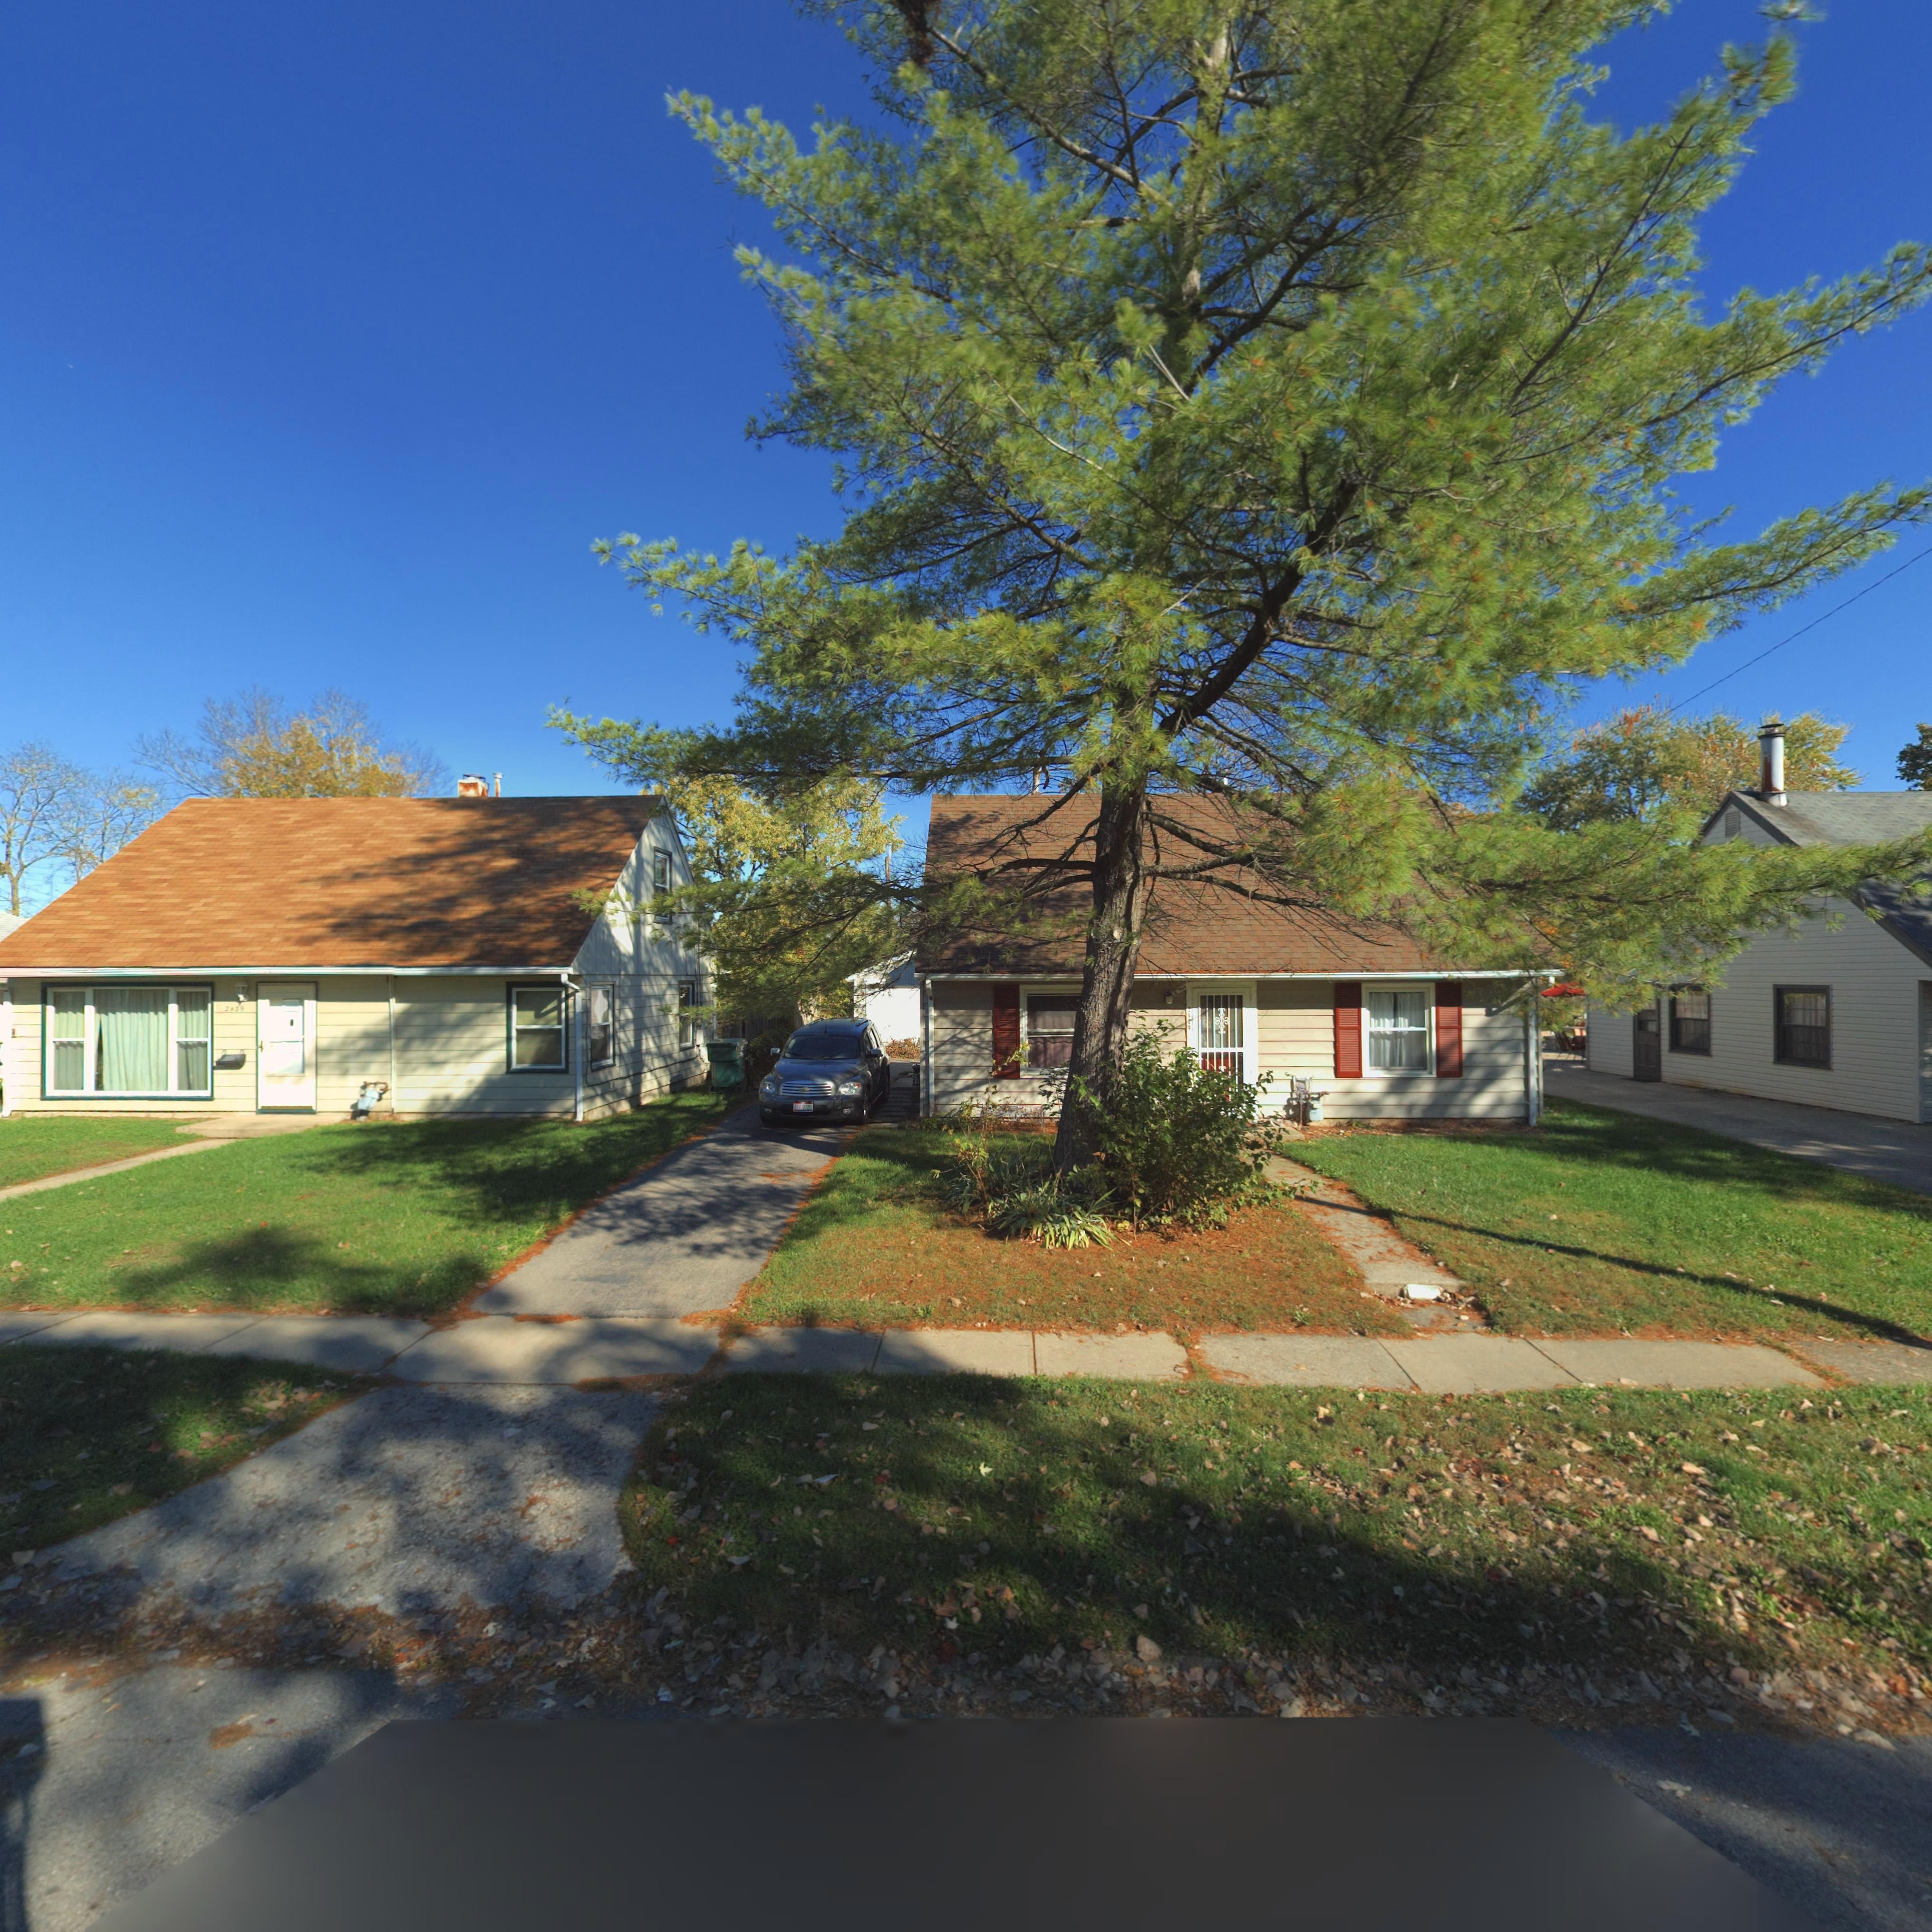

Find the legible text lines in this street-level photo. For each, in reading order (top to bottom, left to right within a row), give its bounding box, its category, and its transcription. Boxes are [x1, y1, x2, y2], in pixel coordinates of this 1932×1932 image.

[224, 1005, 245, 1013] StreetNumber: 2429
[1187, 1006, 1191, 1030] StreetNumber: *125